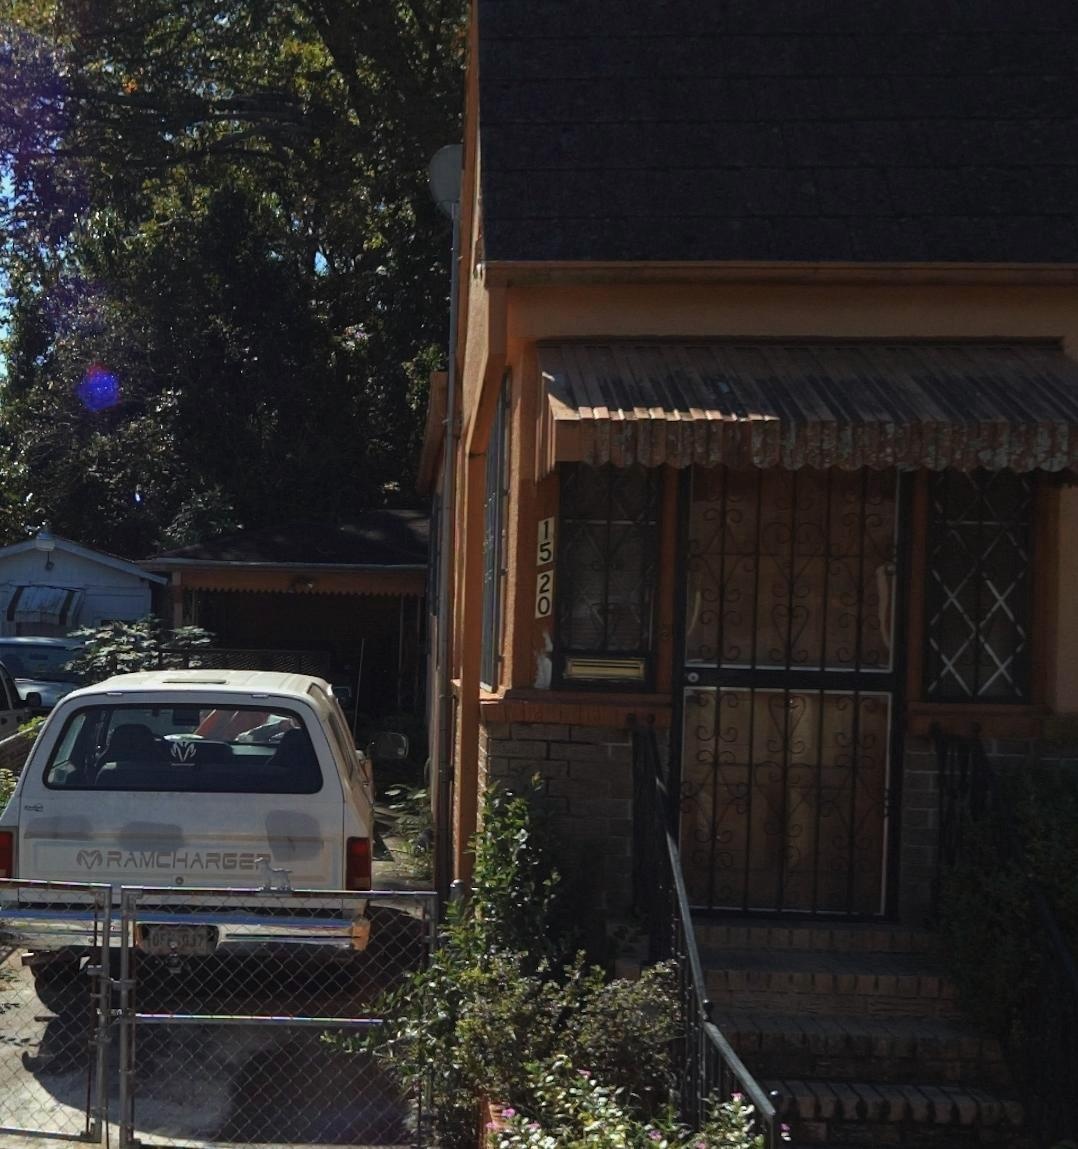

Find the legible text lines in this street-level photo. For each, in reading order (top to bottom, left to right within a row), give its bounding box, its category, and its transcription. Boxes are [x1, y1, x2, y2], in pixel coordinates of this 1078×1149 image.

[535, 517, 554, 618] StreetNumber: 15 20
[104, 848, 275, 872] None: RAMCHARGE*